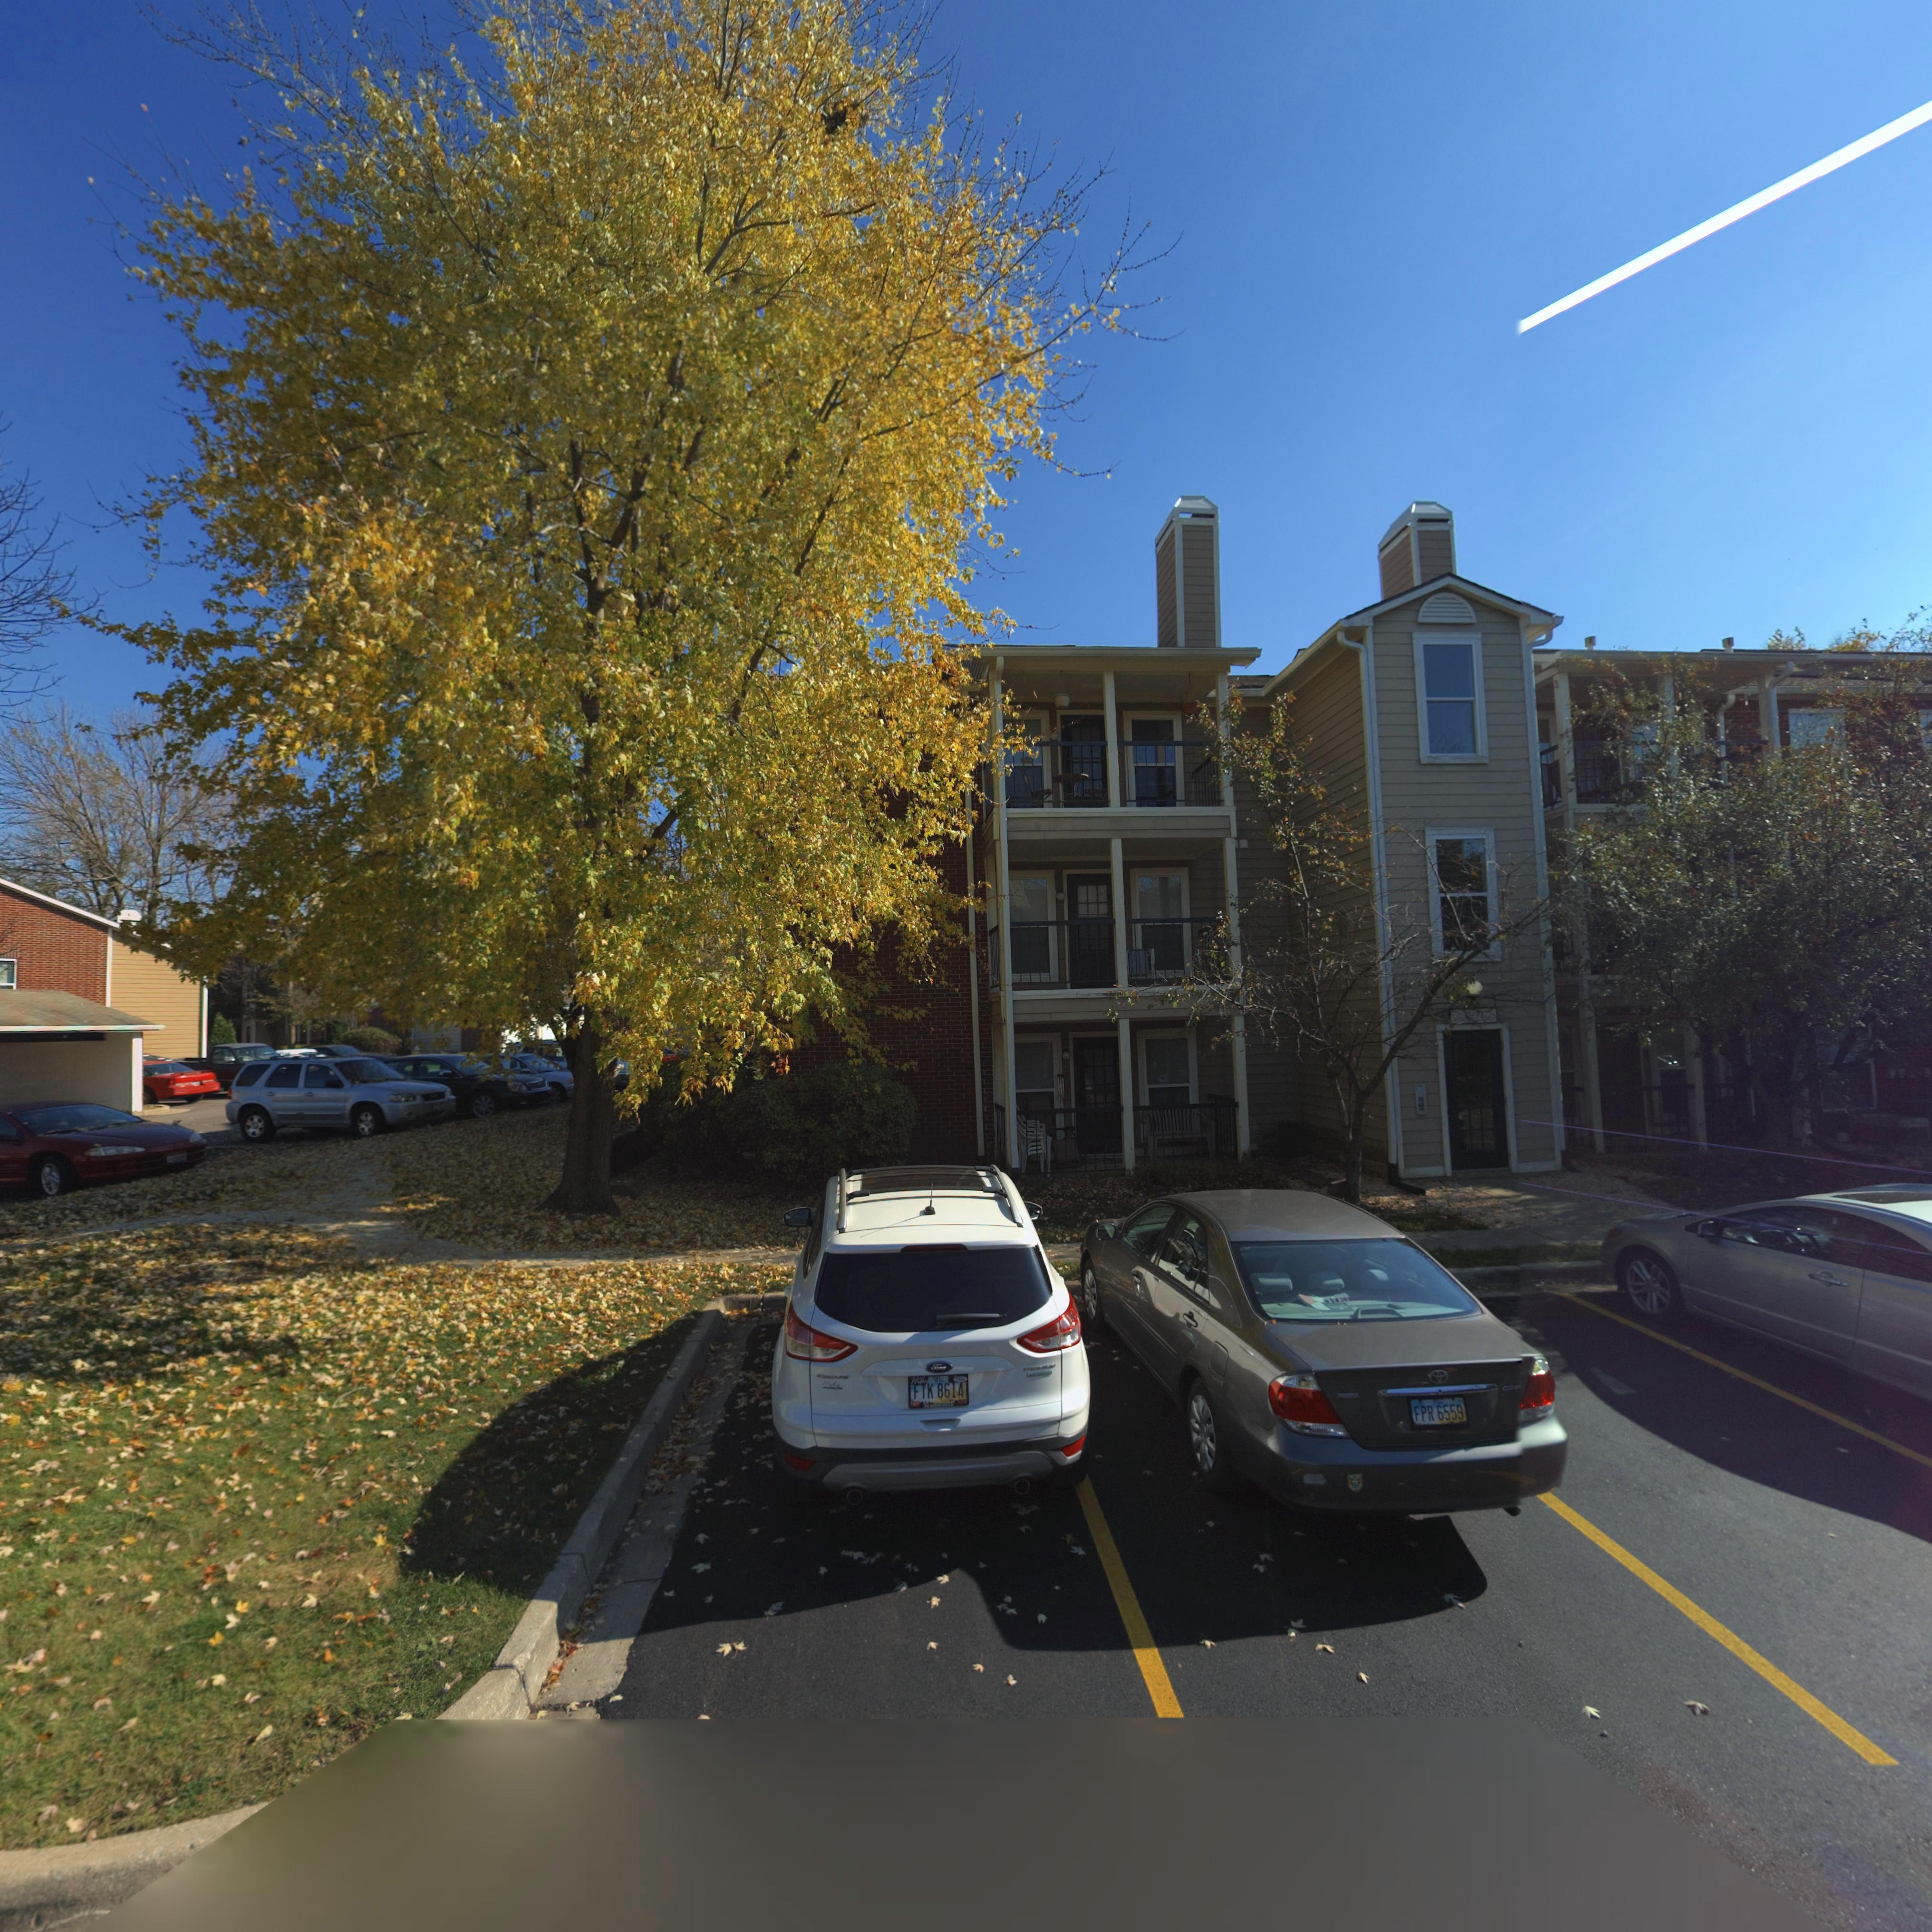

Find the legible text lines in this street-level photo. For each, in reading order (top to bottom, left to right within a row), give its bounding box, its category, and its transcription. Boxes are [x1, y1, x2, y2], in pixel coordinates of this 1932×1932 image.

[913, 1381, 966, 1401] None: FTK 8614
[1336, 1391, 1361, 1400] None: TO*O**
[1412, 1403, 1466, 1423] None: FPR 6559